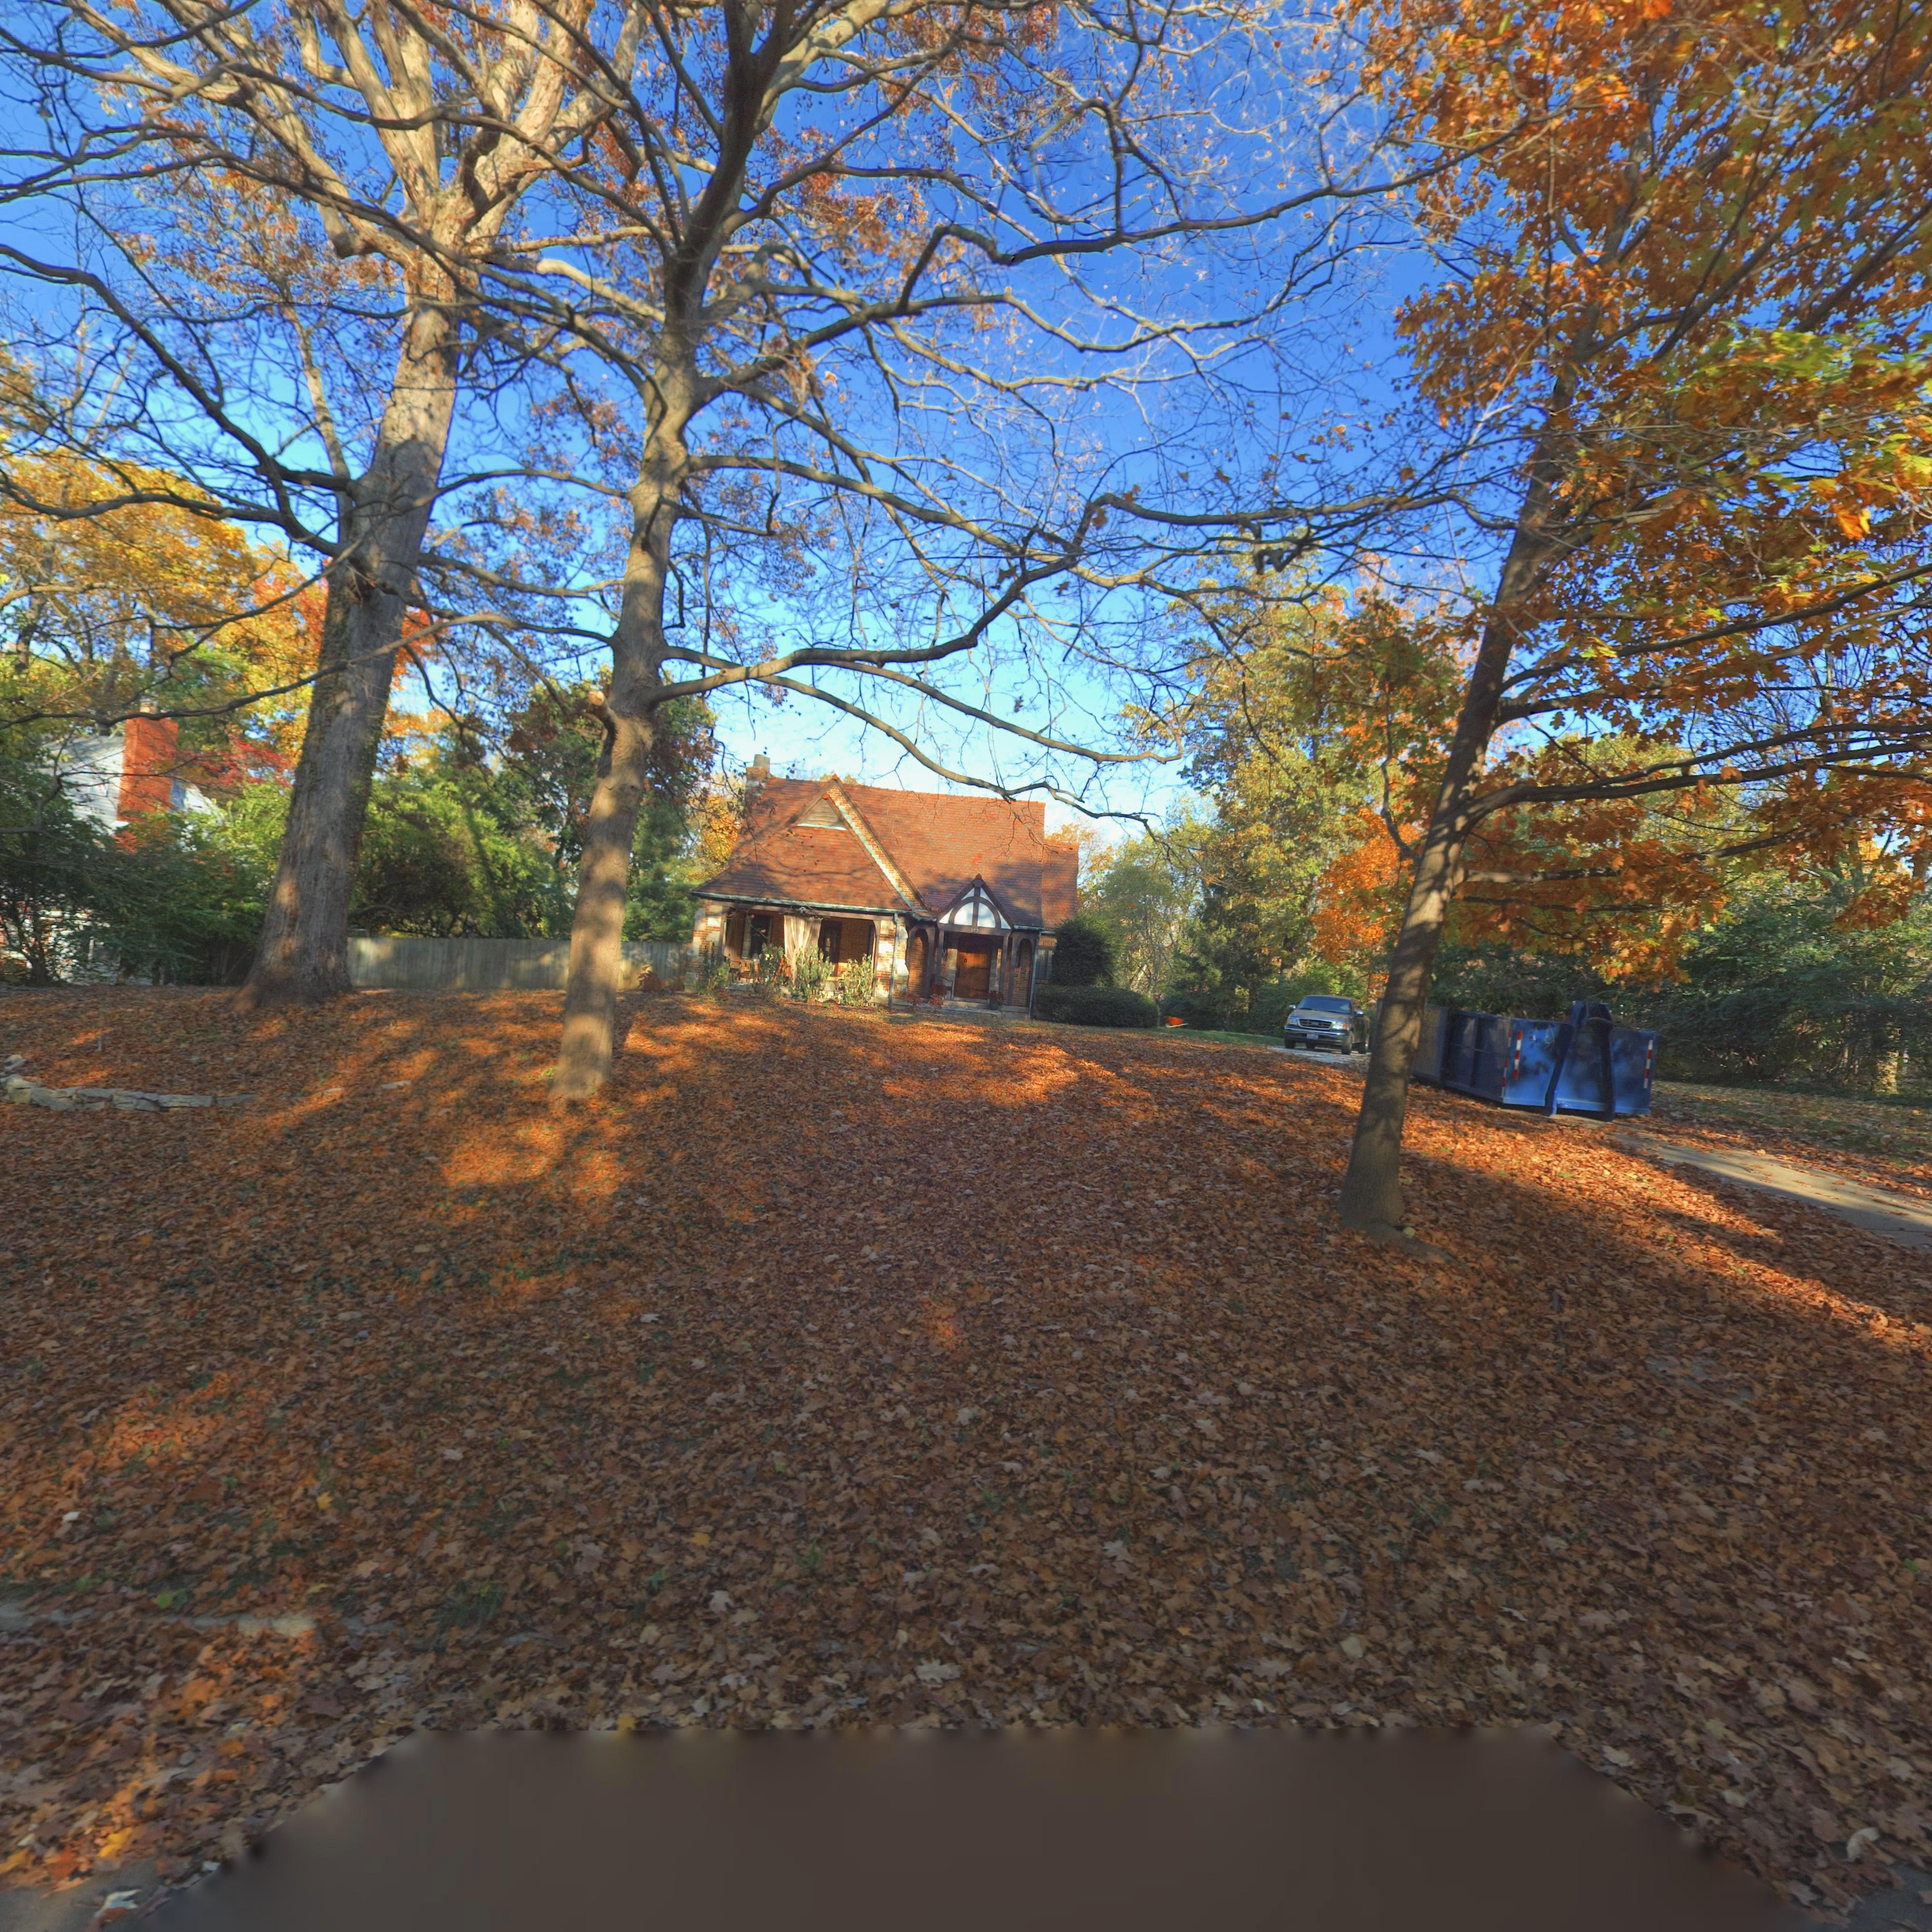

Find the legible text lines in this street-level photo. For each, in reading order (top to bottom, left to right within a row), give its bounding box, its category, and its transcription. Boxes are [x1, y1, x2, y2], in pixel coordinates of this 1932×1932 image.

[969, 927, 981, 933] StreetNumber: 300